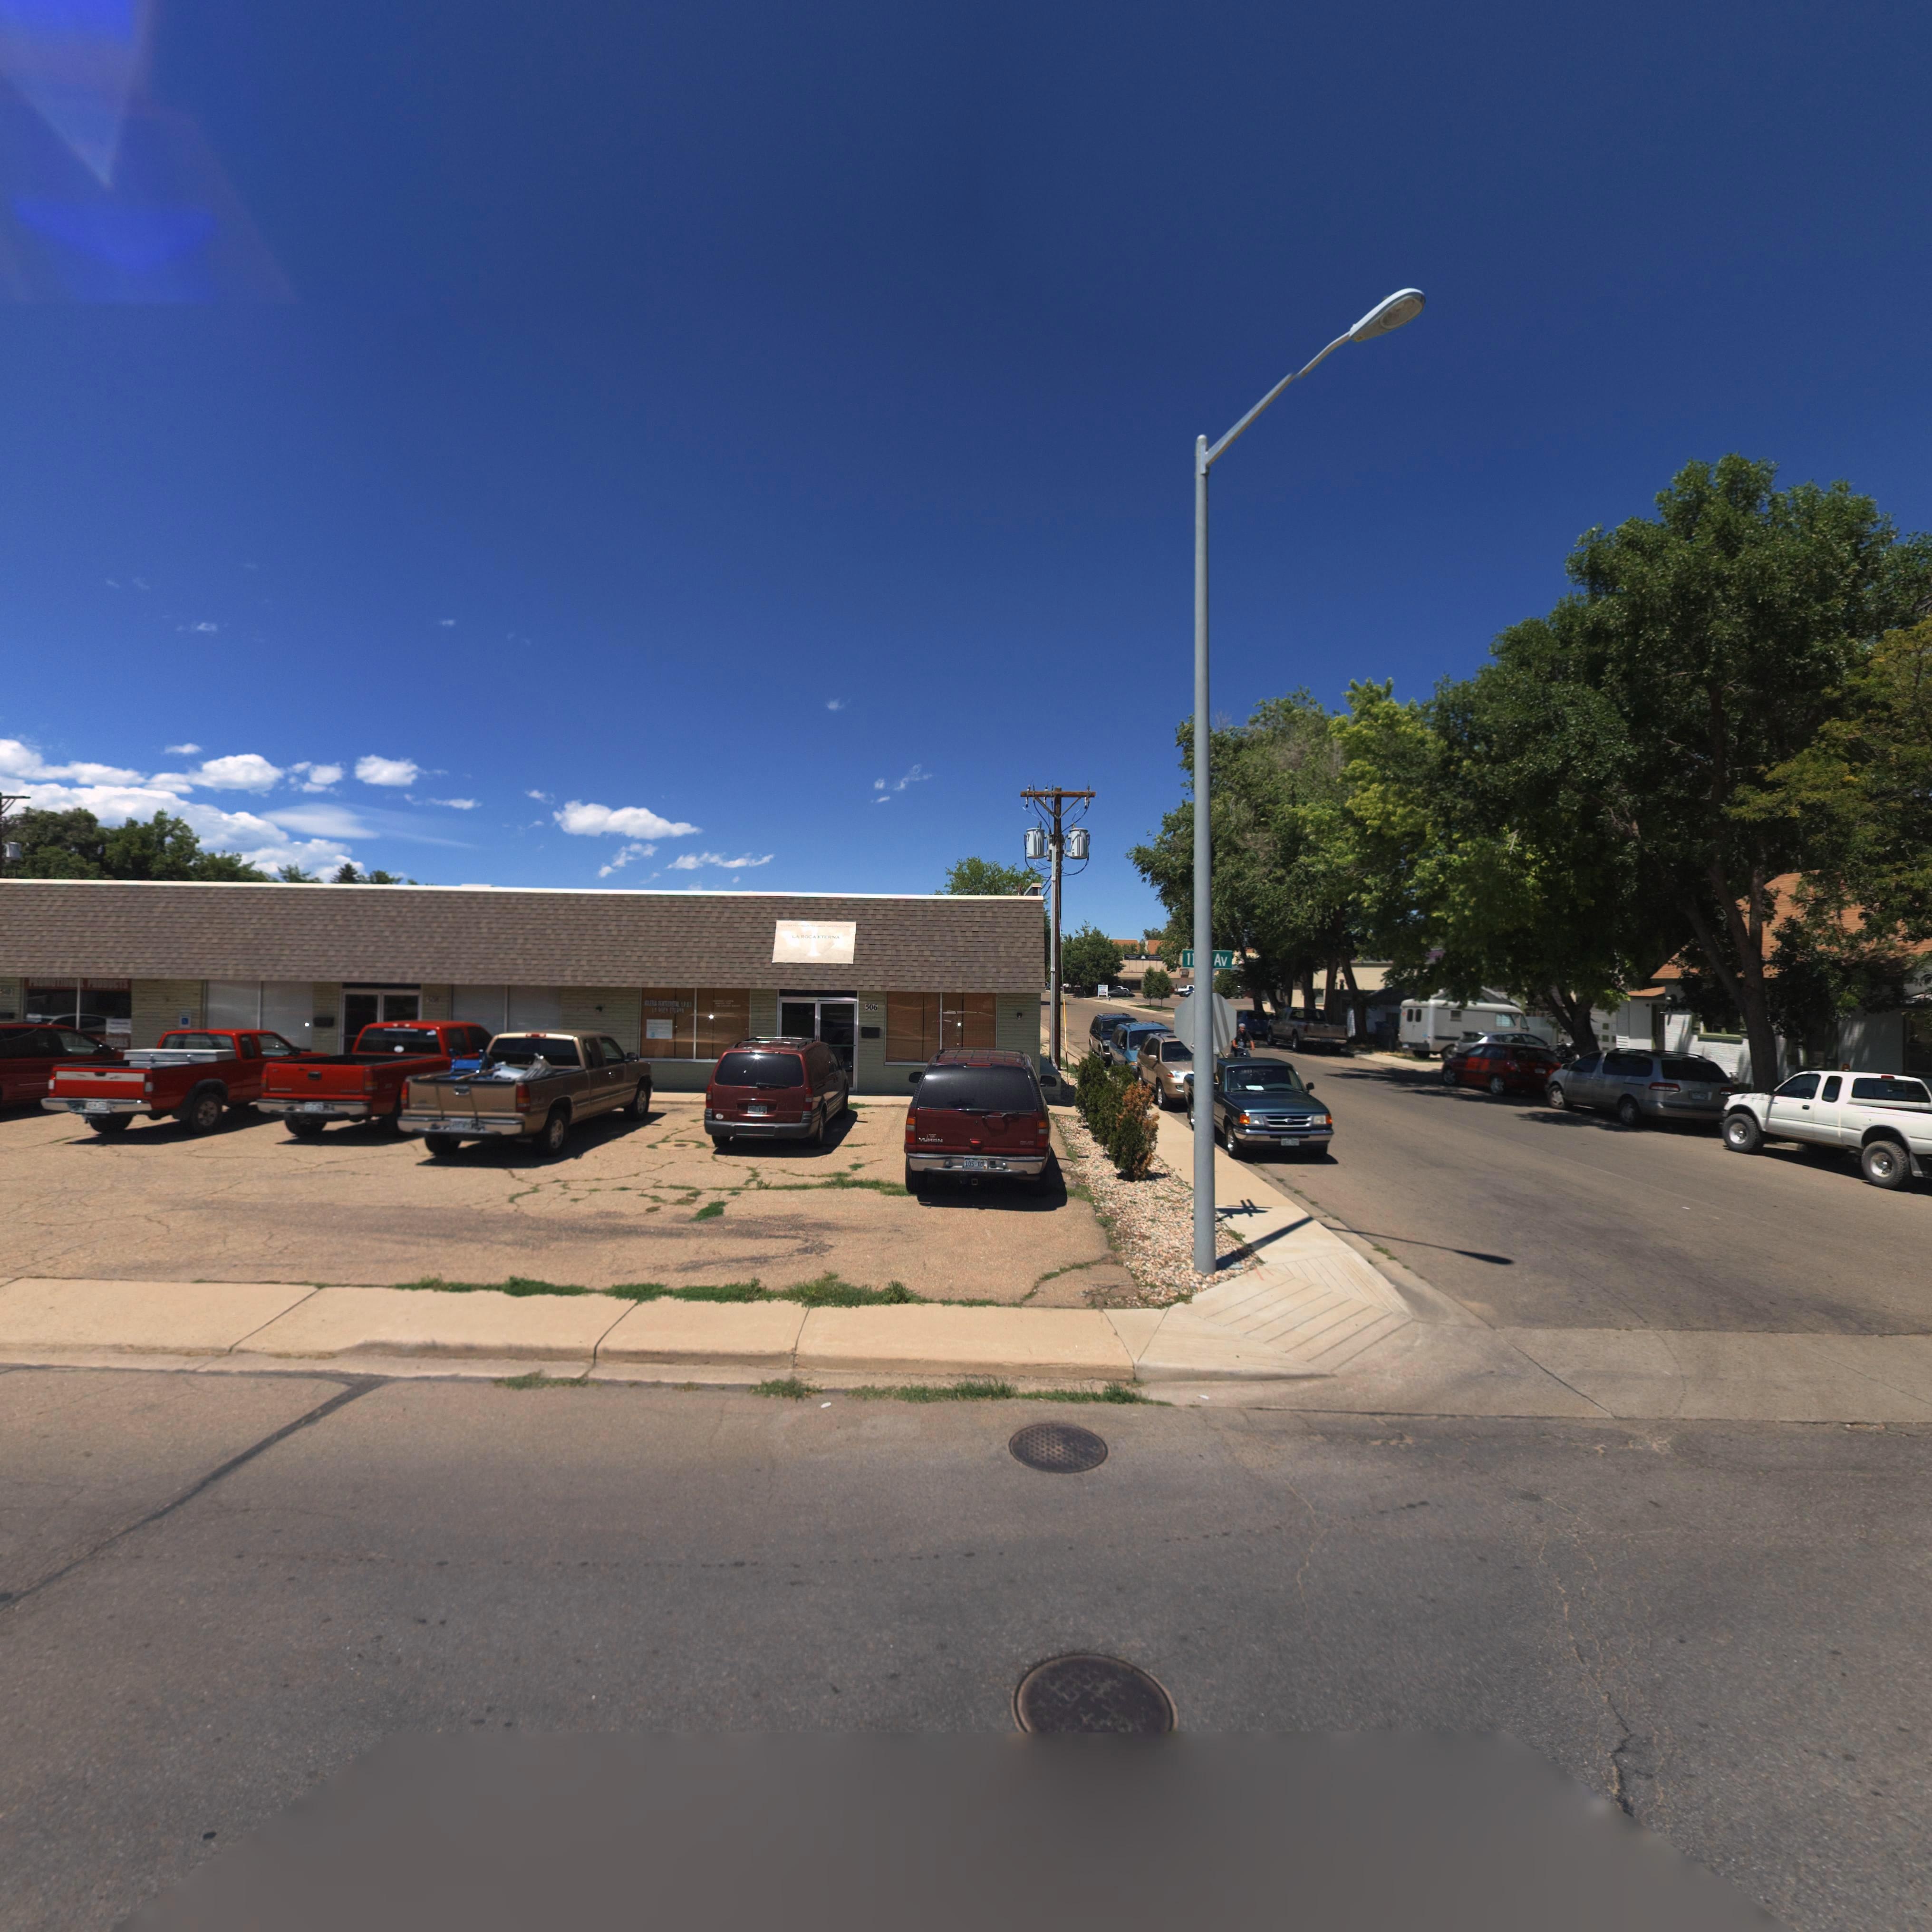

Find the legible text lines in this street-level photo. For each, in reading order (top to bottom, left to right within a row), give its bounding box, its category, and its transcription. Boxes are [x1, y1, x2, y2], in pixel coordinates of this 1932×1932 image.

[791, 934, 840, 939] BusinessName: LA ROCA *TERNA
[1186, 952, 1228, 967] StreetName: 1*** Av
[0, 989, 11, 995] StreetNumber: 5*0
[425, 995, 440, 1004] StreetNumber: 508
[864, 1004, 878, 1010] StreetNumber: 506